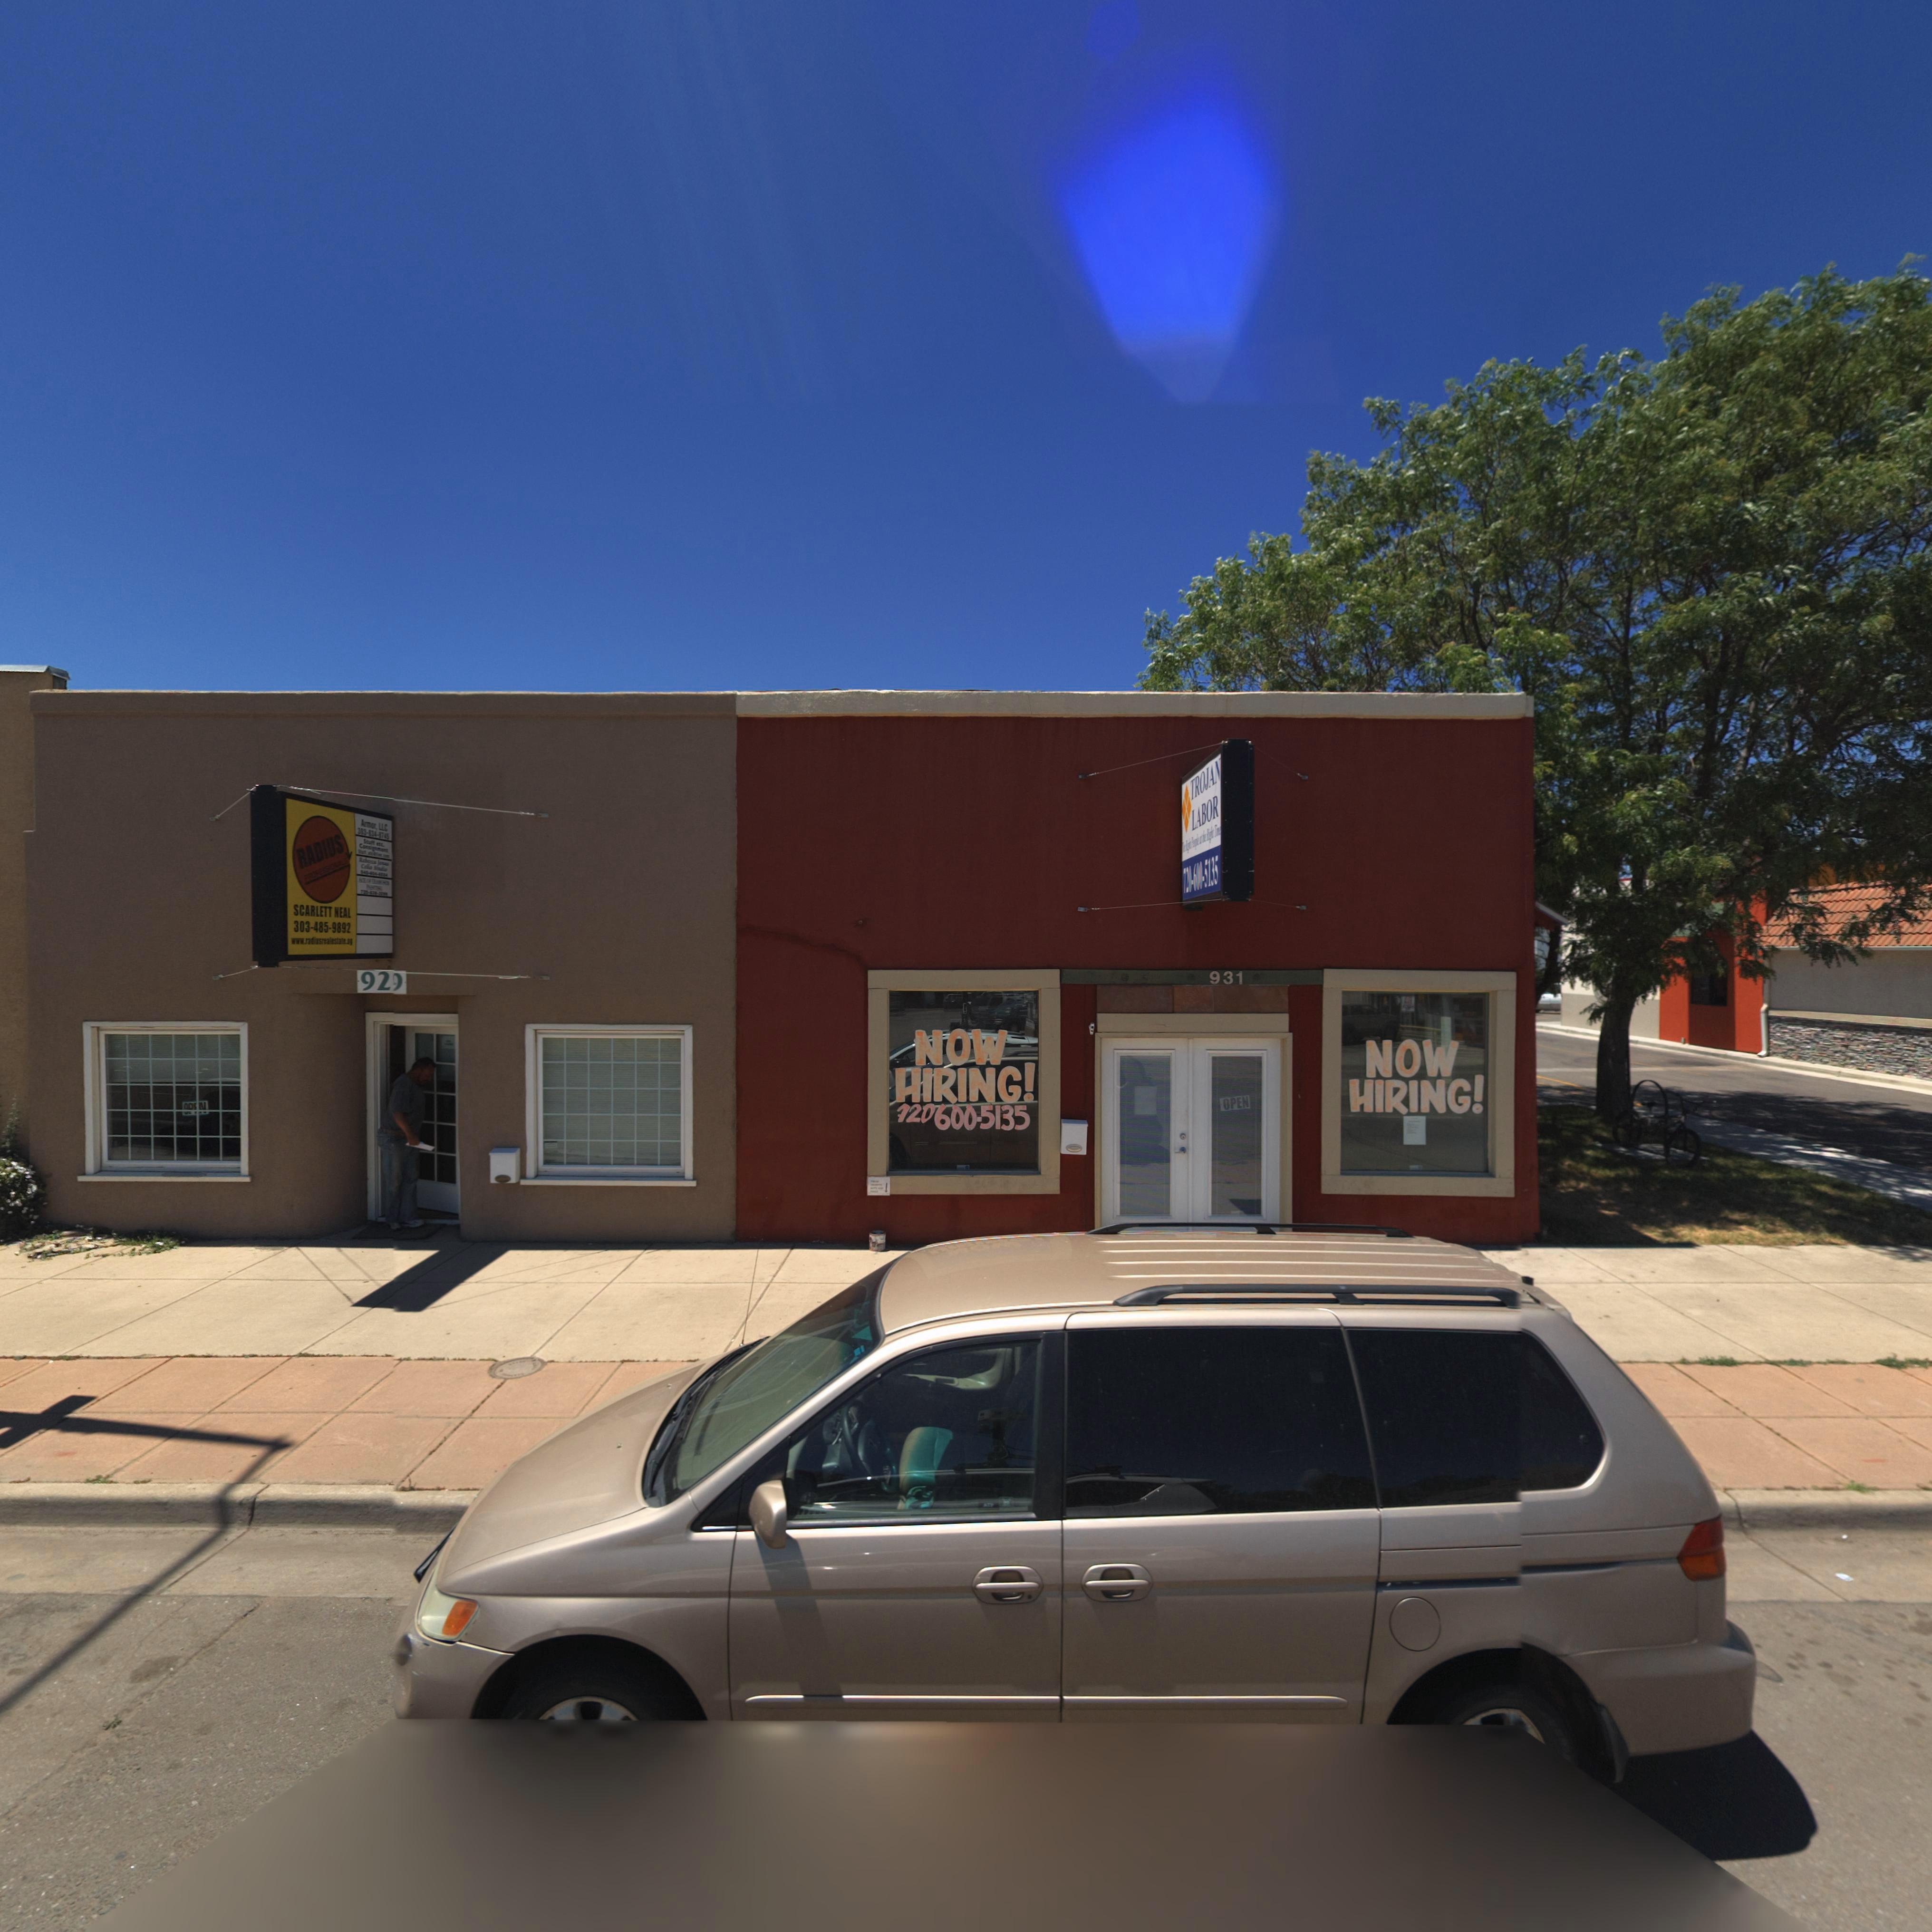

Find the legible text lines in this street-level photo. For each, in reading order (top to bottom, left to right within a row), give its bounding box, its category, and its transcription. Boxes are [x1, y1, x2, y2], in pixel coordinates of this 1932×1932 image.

[1189, 757, 1221, 801] BusinessName: TROJAN
[1191, 795, 1219, 831] BusinessName: LABOR
[360, 819, 388, 831] BusinessName: ARMOUR, LLC
[294, 834, 345, 870] BusinessName: RADIUS
[358, 842, 388, 853] BusinessName: Com*******
[362, 838, 385, 848] BusinessName: Scott ***
[358, 857, 389, 866] BusinessName: Reb***a Jones
[360, 863, 387, 872] BusinessName: Cello Studio
[358, 877, 389, 886] BusinessName: ACE OF D********
[360, 970, 403, 992] StreetNumber: 92*
[1208, 969, 1243, 985] StreetNumber: 931